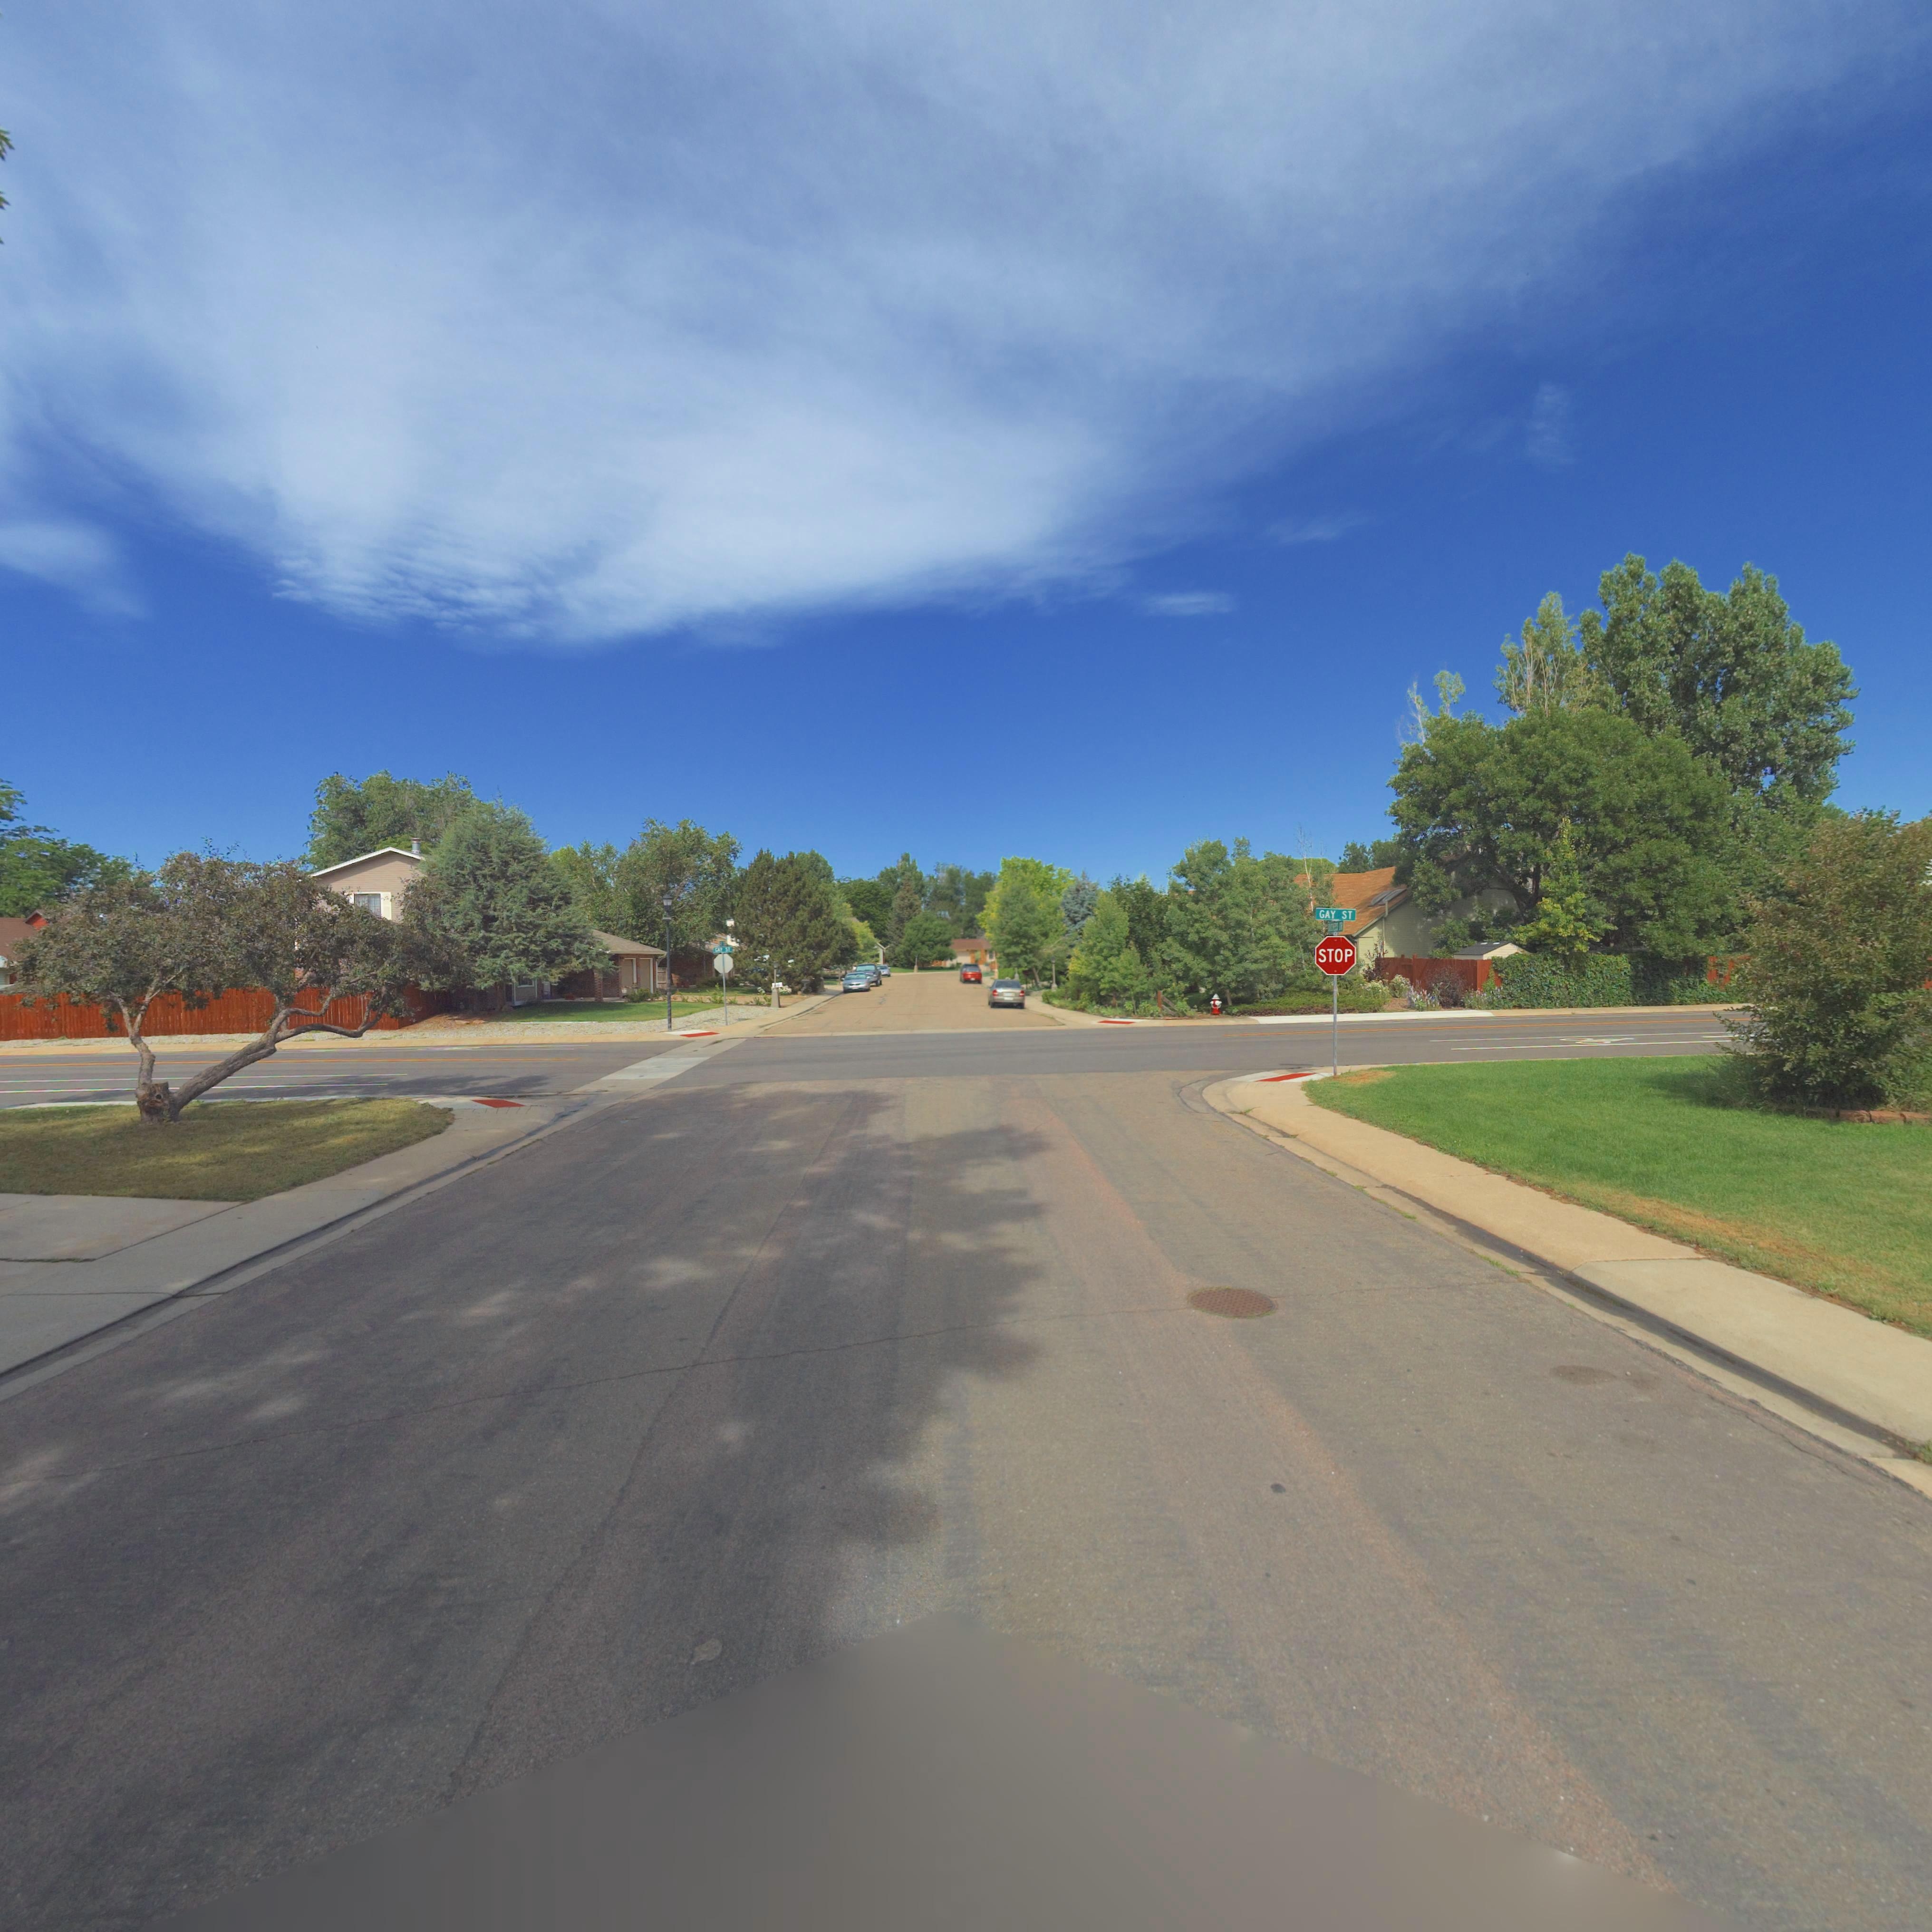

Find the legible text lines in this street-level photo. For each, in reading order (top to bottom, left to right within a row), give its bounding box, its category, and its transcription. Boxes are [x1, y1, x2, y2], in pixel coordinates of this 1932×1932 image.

[1319, 909, 1352, 919] StreetName: GAY ST
[1328, 921, 1343, 931] StreetName: T****S DR